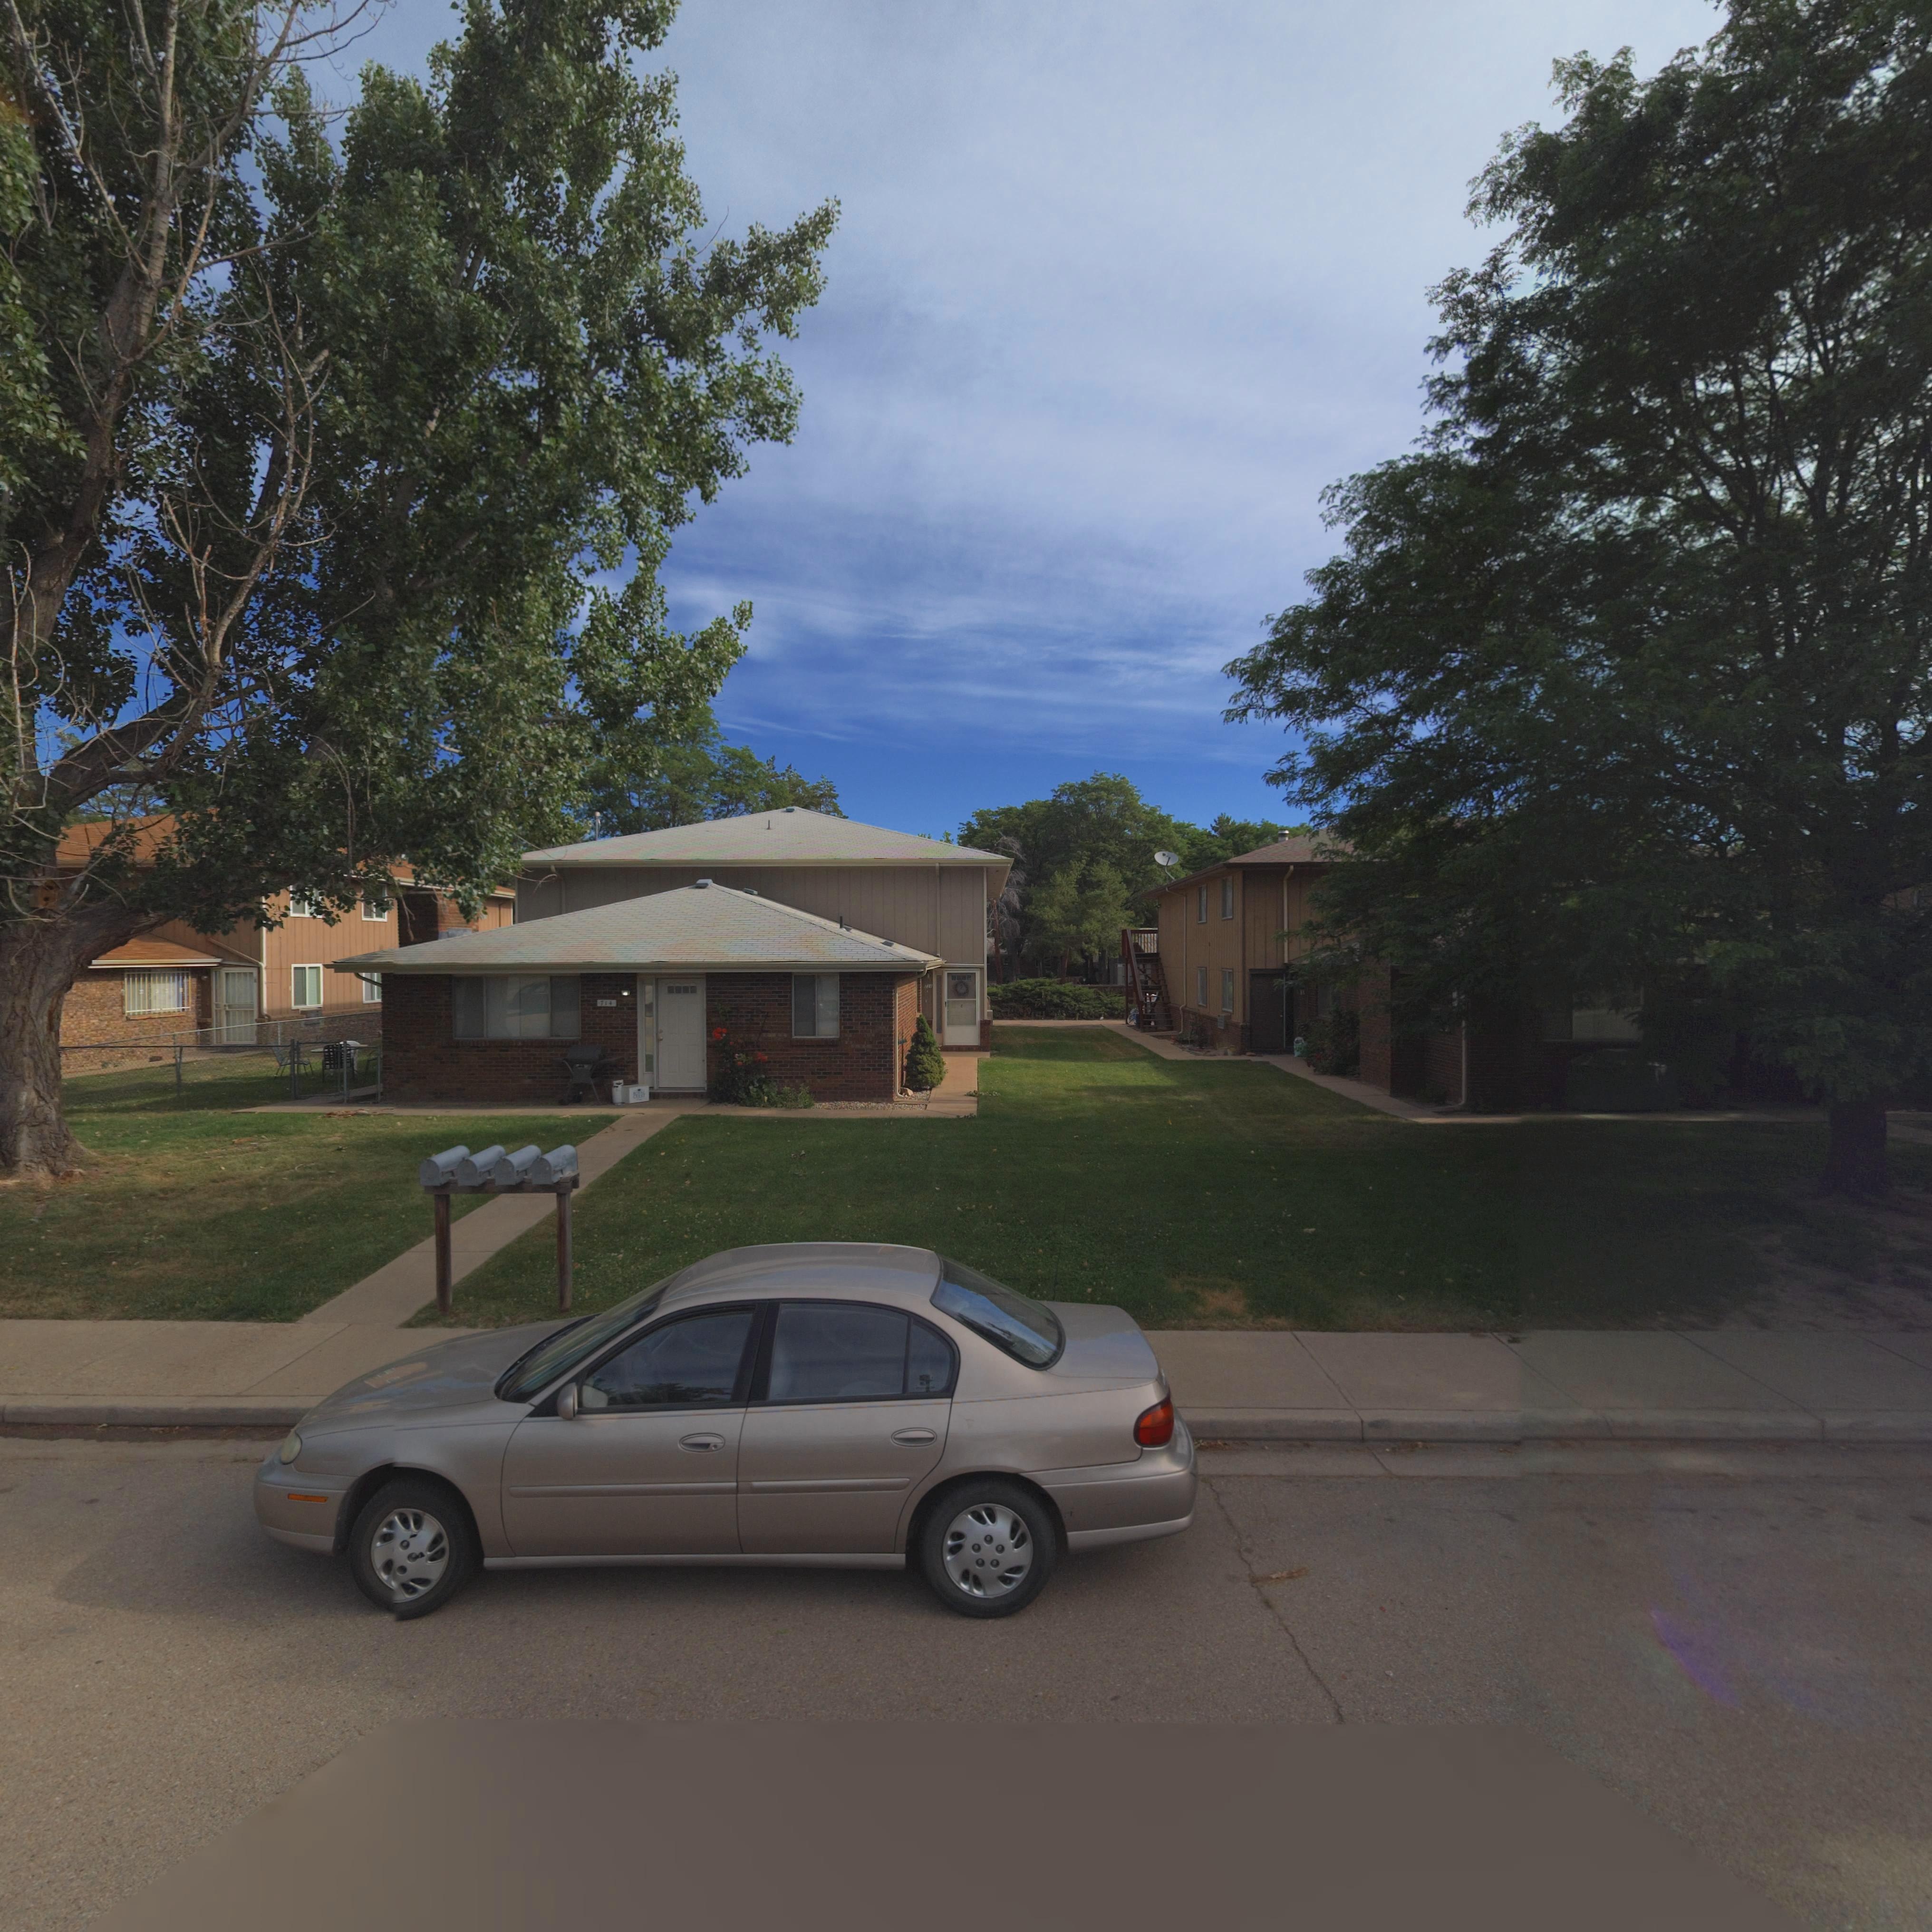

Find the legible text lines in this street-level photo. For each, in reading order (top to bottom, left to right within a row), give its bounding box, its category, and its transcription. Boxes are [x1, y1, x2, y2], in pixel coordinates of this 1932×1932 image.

[598, 1000, 616, 1006] StreetNumber: 714